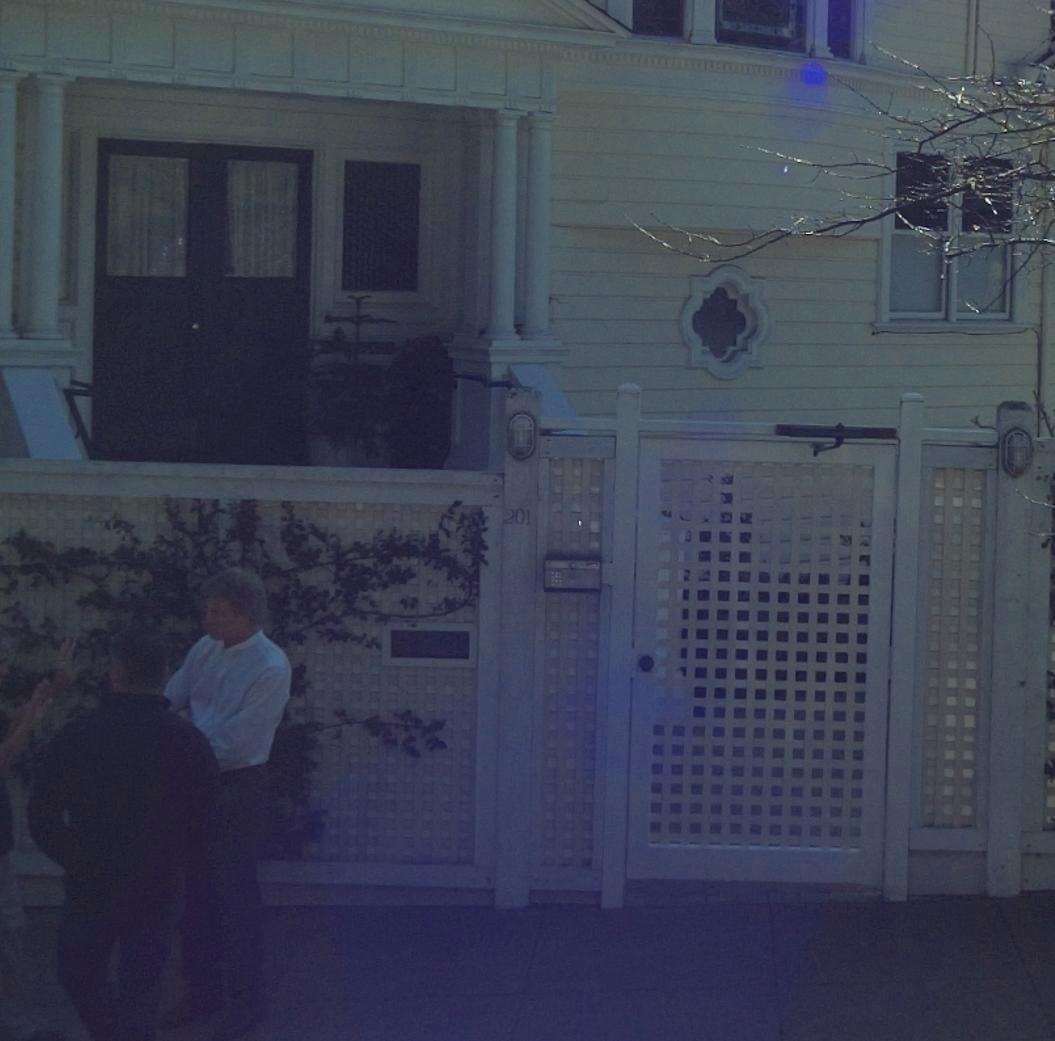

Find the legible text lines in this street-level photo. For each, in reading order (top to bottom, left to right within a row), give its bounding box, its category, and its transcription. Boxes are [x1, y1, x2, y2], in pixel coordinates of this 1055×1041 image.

[502, 507, 535, 526] StreetNumber: 201